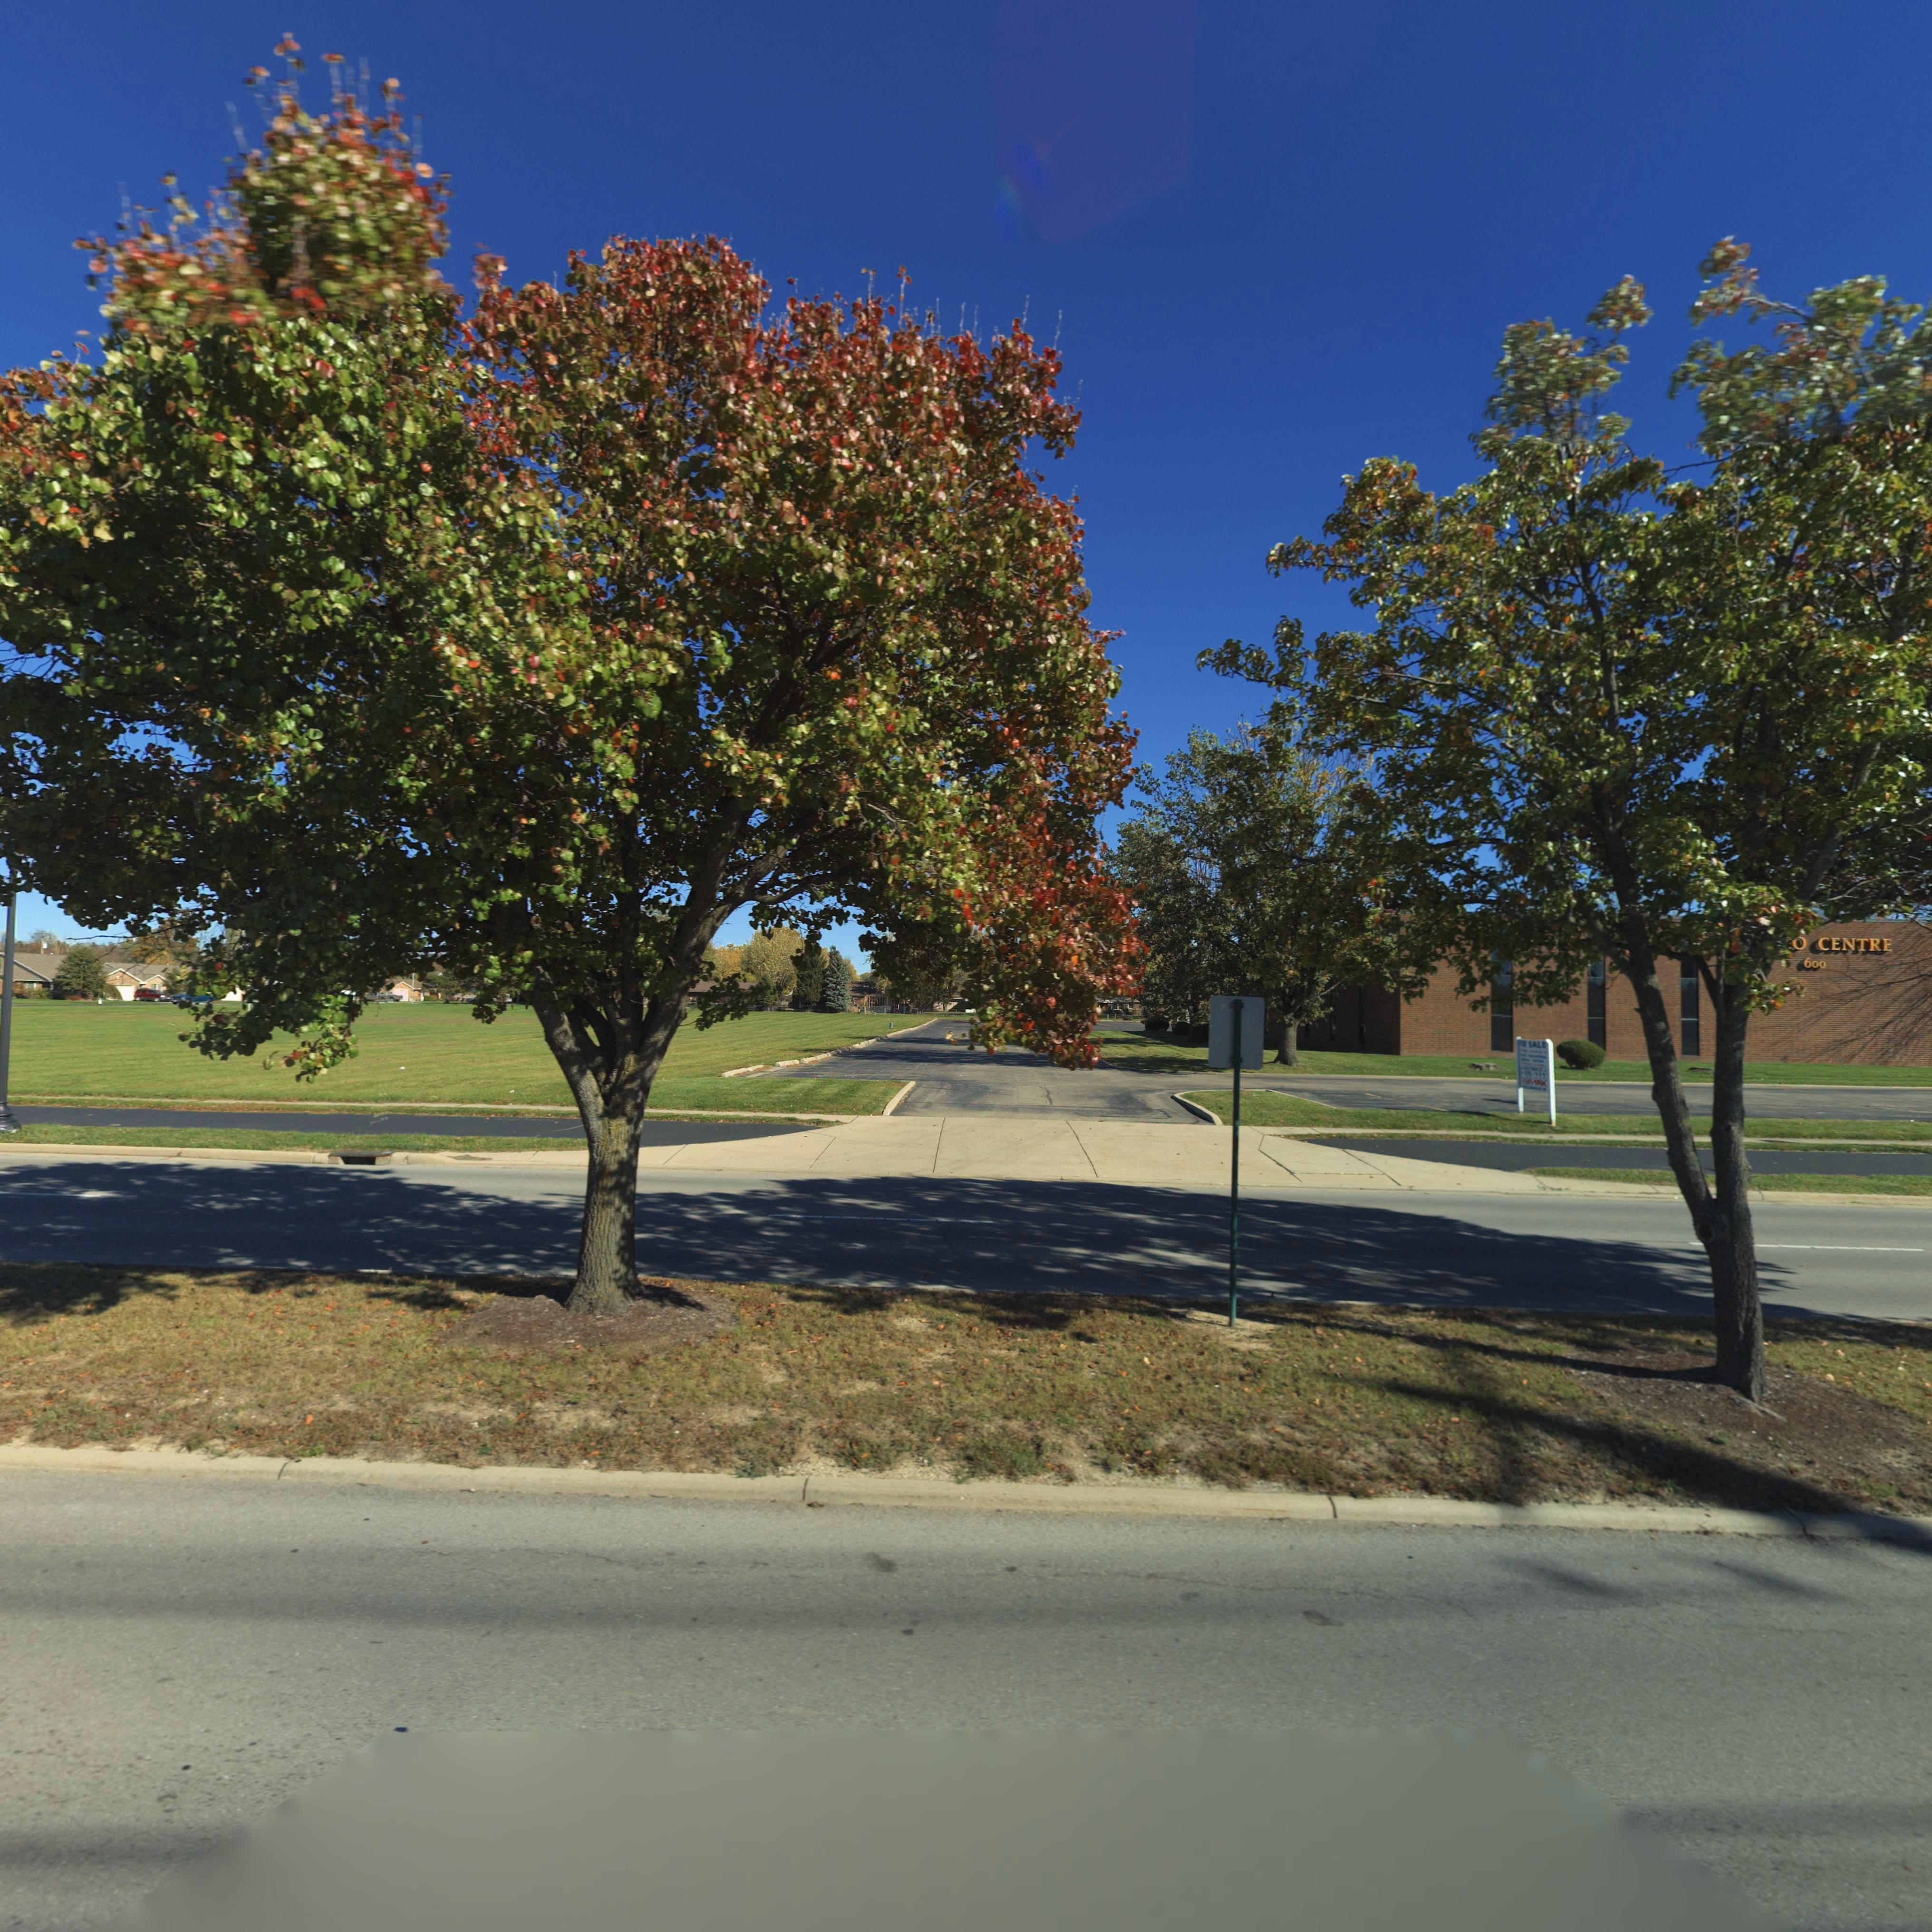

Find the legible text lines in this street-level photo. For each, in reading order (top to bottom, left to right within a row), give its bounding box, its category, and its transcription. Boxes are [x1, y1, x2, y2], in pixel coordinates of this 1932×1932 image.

[1816, 936, 1894, 953] BusinessName: CENTRE
[1802, 956, 1827, 969] StreetNumber: 600